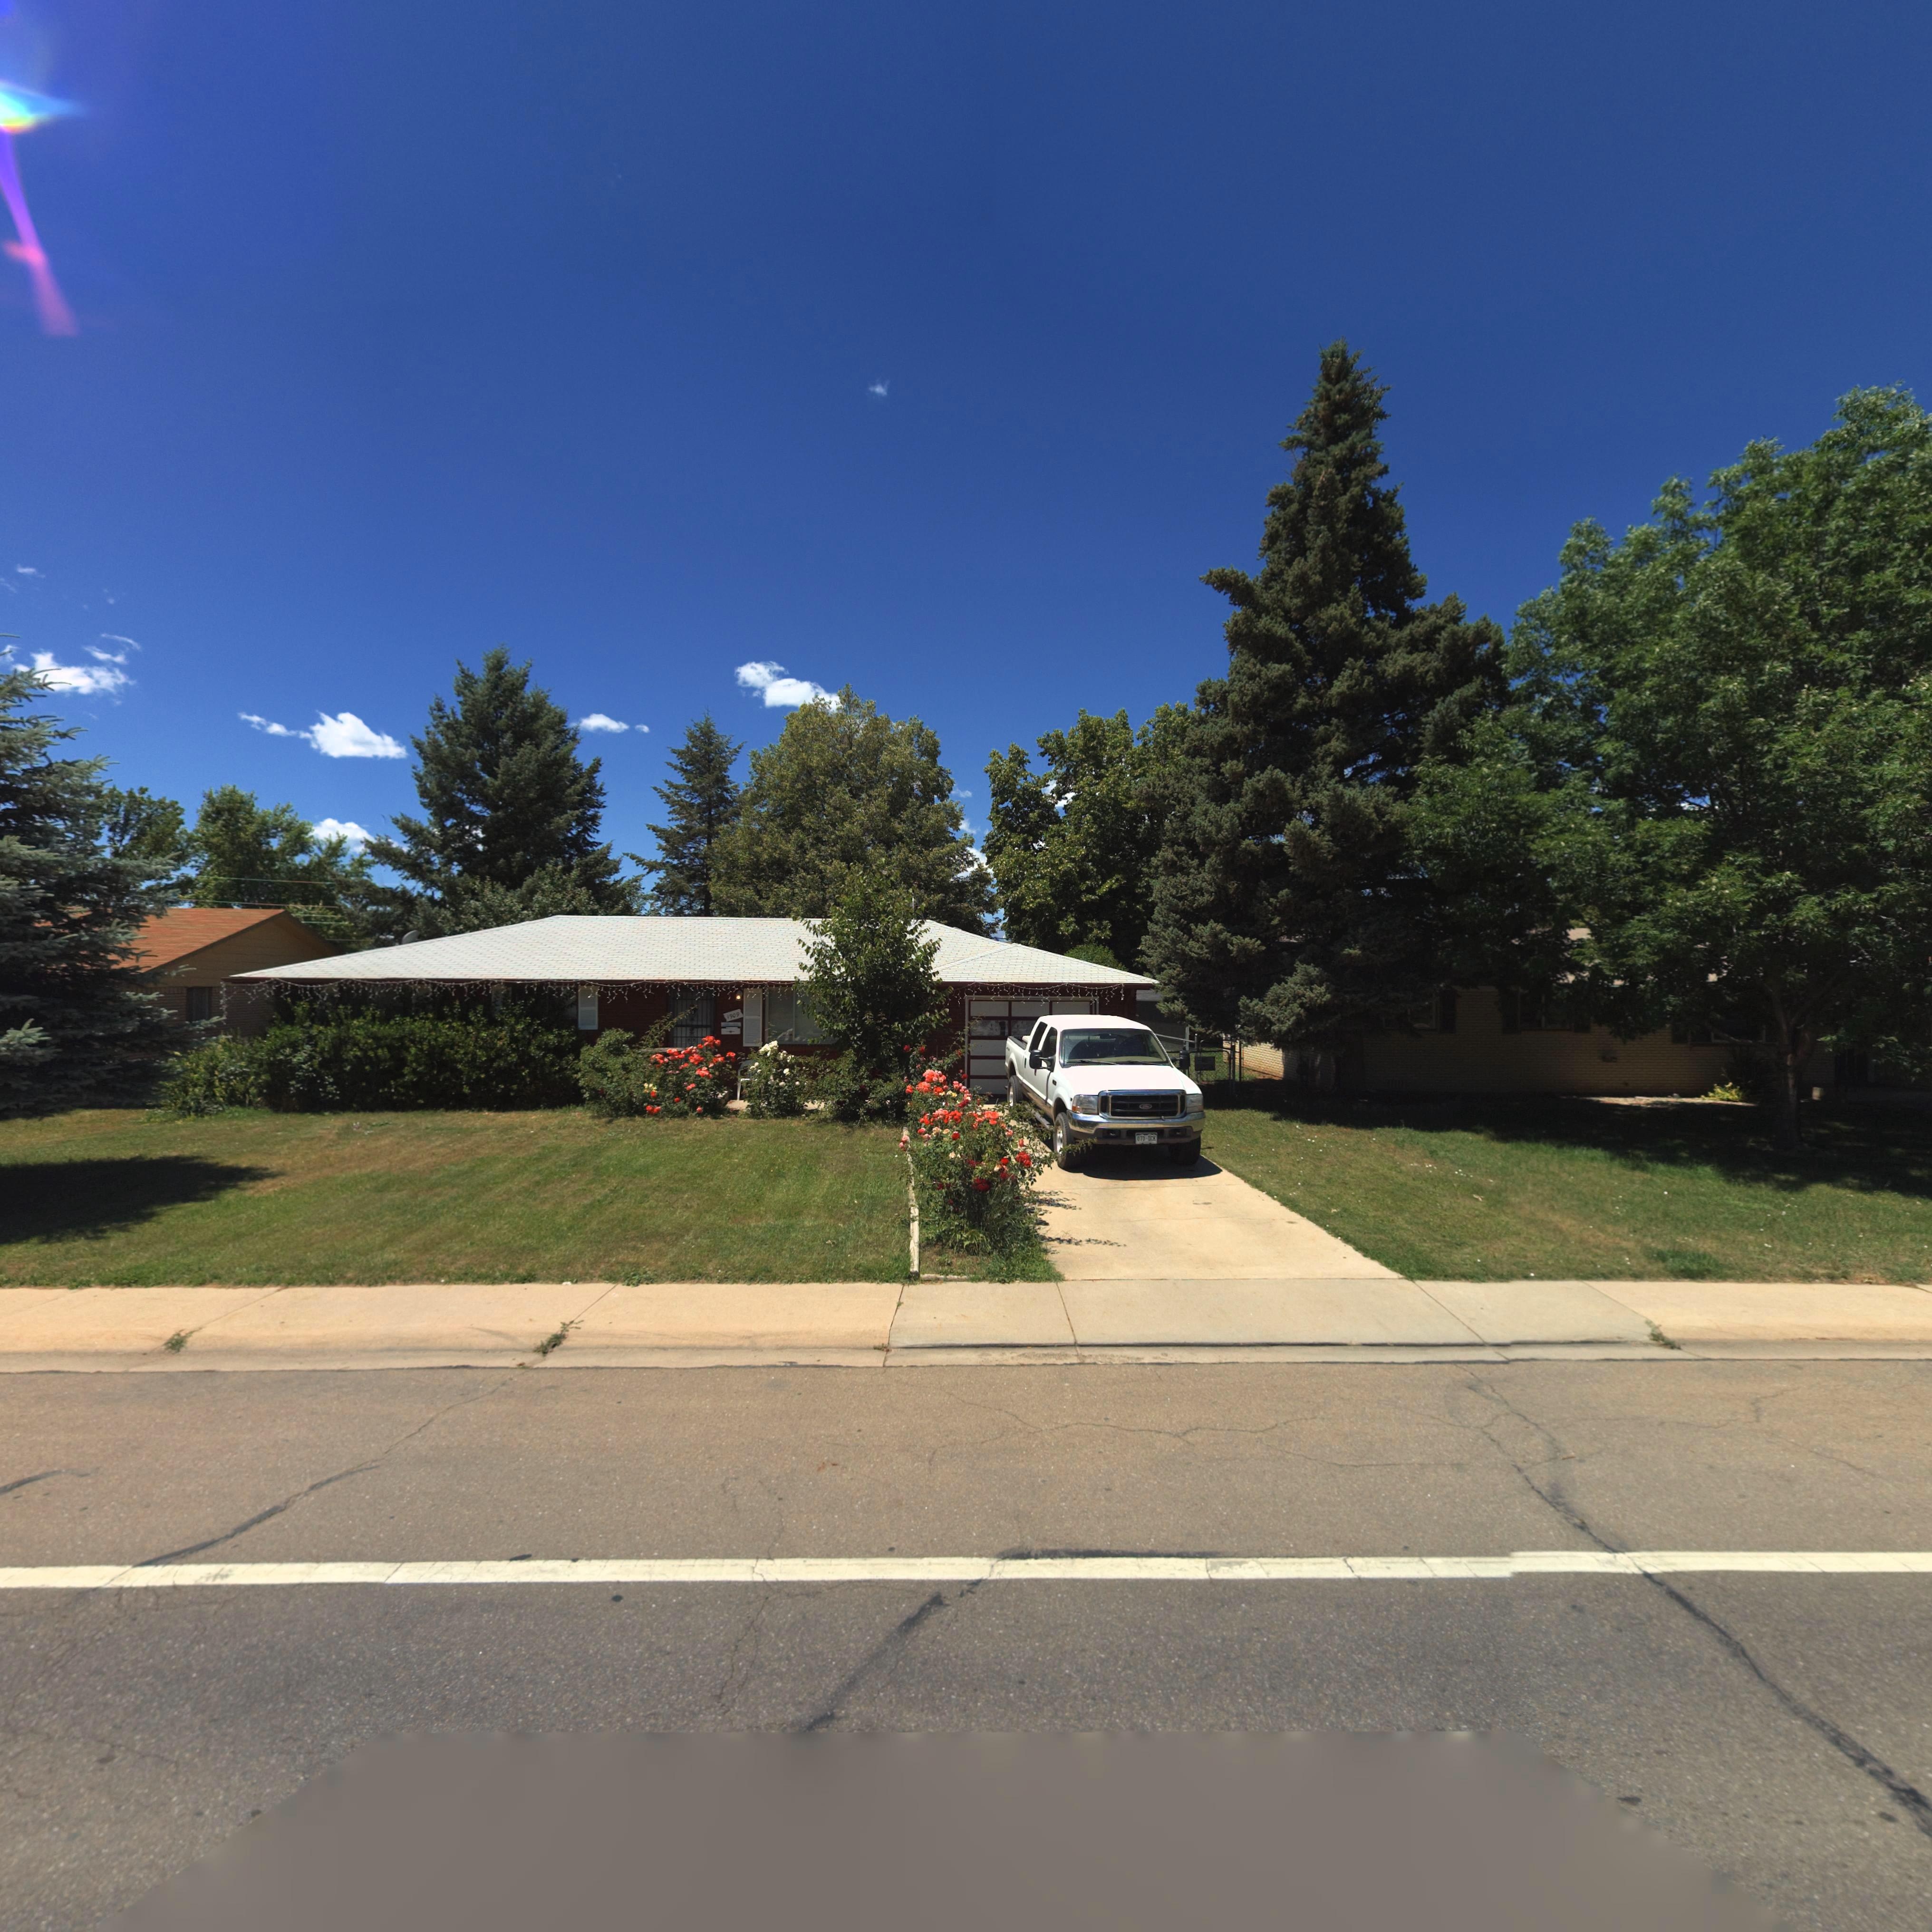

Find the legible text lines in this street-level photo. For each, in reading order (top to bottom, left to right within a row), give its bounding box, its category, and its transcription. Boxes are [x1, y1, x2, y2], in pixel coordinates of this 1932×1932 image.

[726, 1011, 740, 1019] StreetNumber: 1909